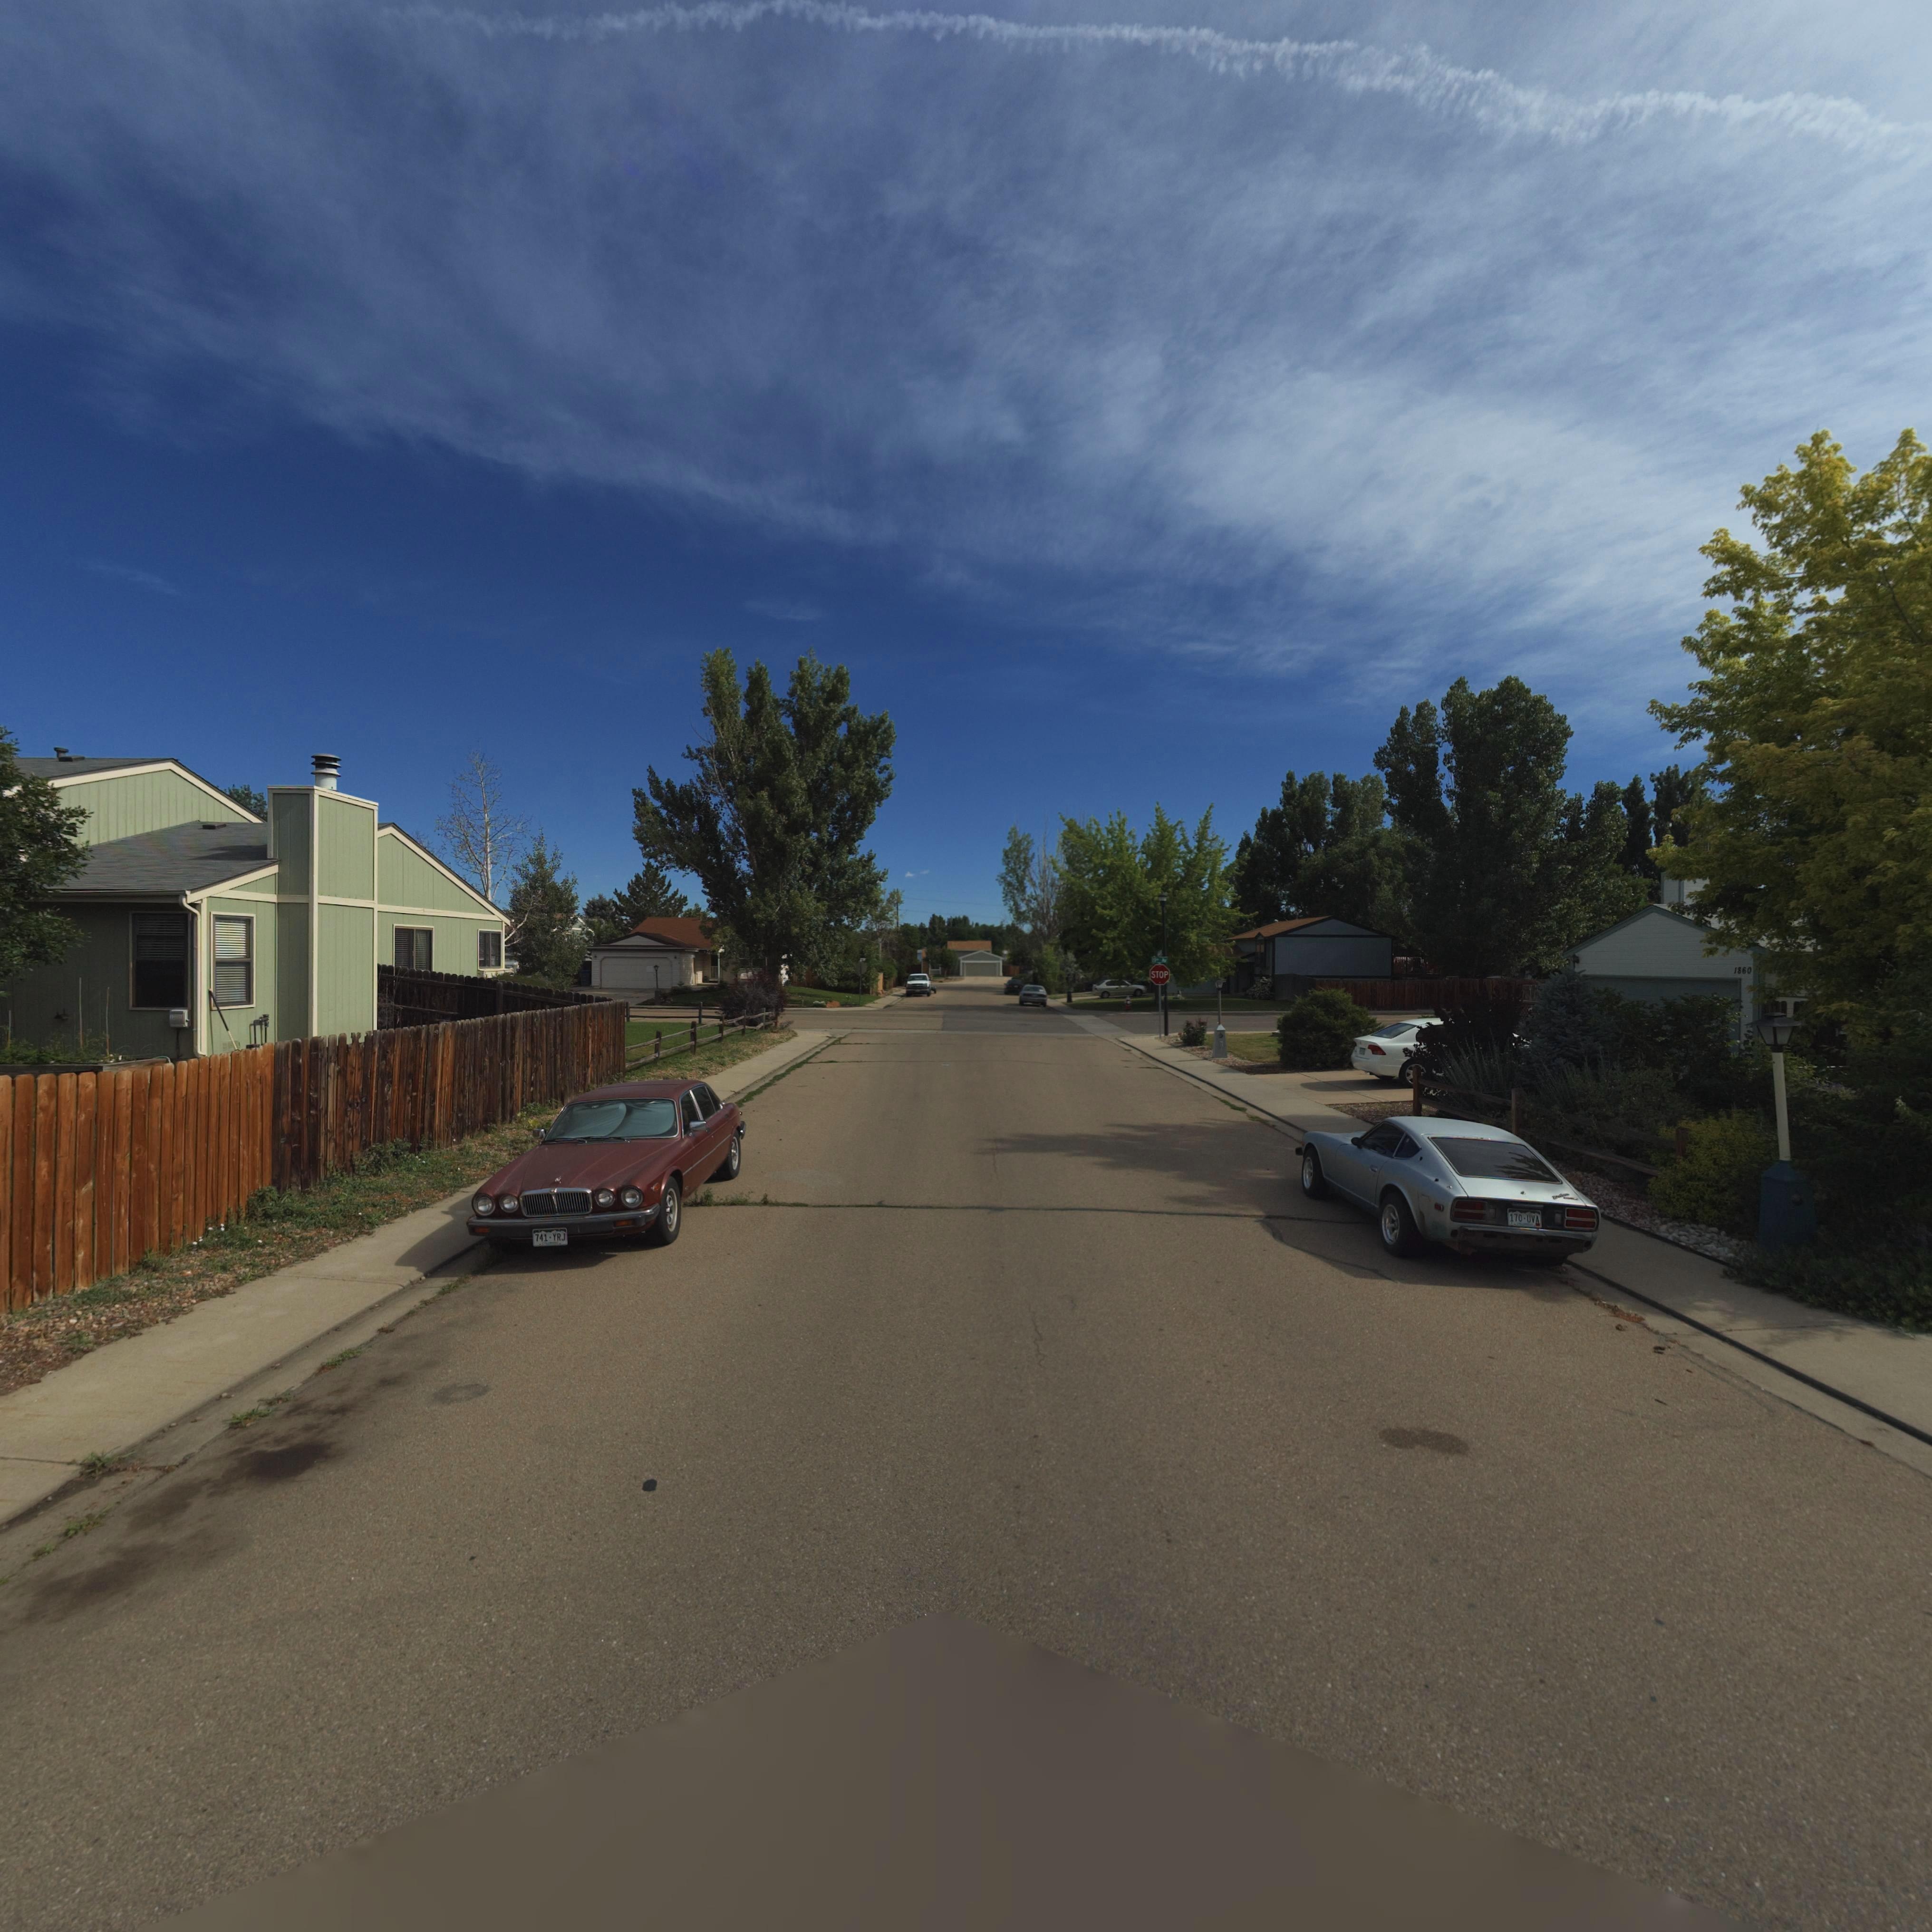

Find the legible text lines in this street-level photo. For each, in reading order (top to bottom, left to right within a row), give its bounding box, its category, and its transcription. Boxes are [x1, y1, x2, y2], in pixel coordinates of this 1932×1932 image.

[1151, 957, 1167, 963] StreetName: *9th Av
[1733, 966, 1752, 974] StreetNumber: 1860